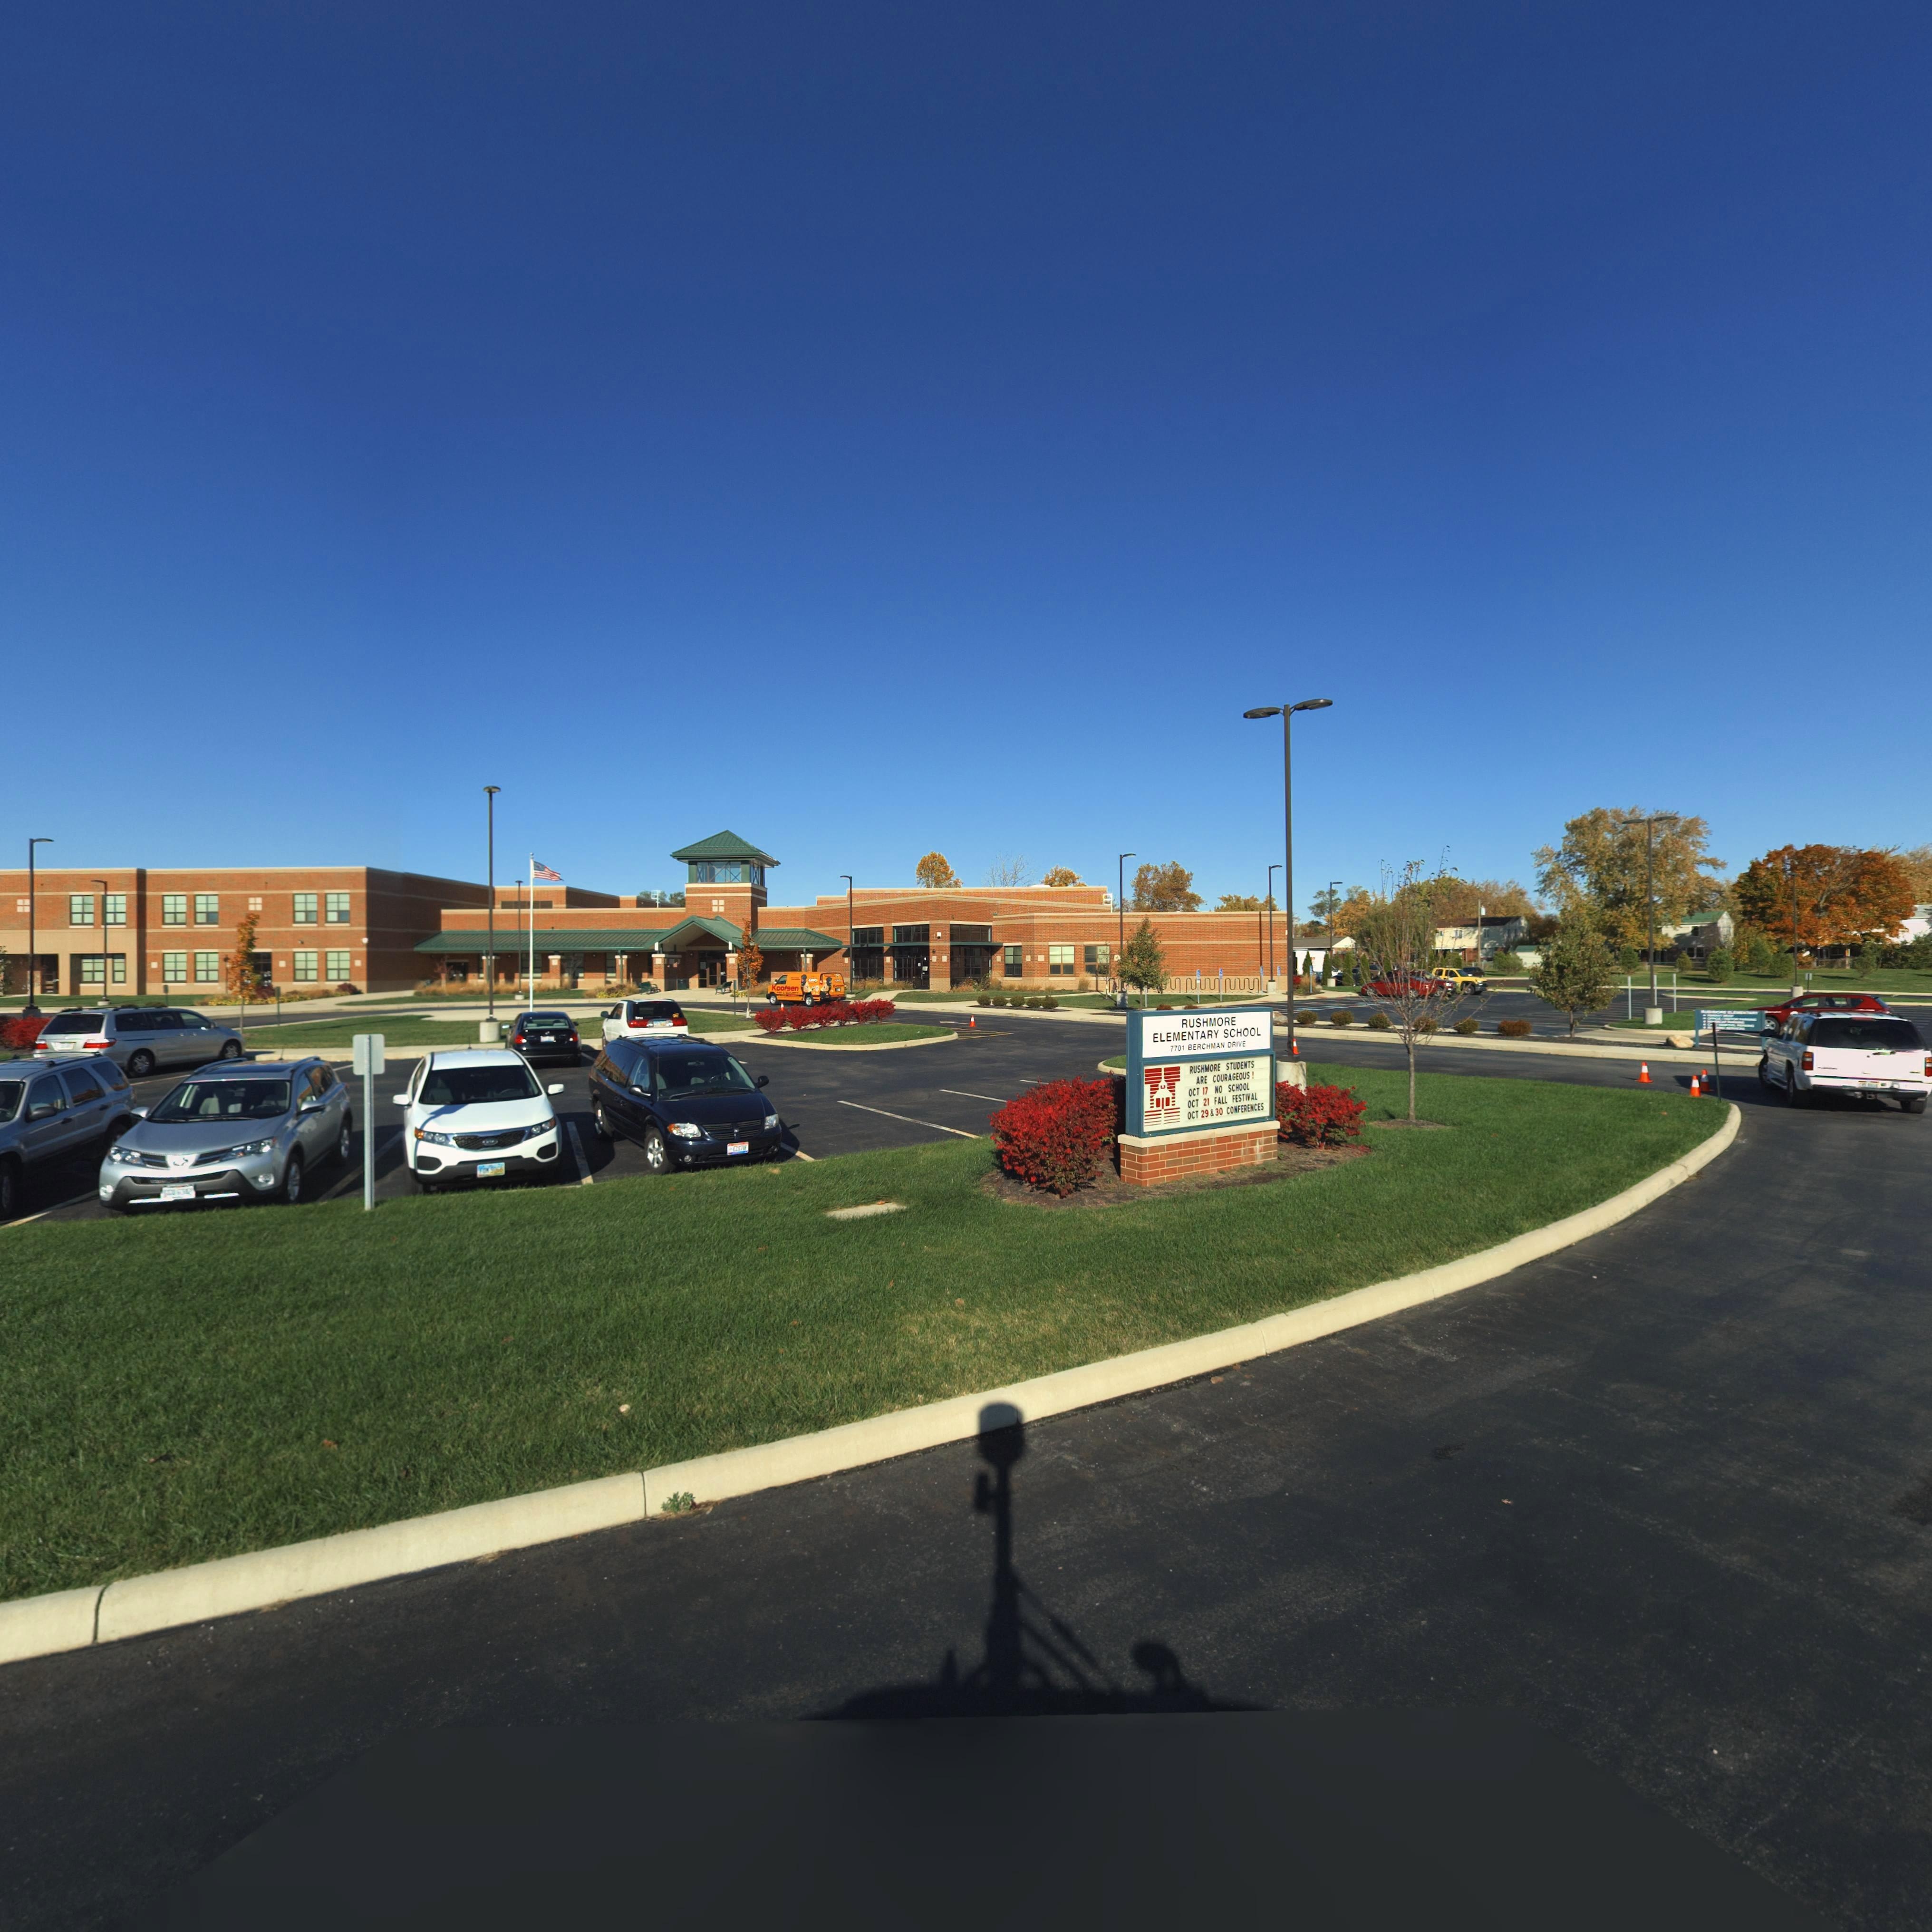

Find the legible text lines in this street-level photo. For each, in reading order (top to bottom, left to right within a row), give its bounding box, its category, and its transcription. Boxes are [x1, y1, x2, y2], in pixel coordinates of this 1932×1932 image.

[1181, 1016, 1237, 1029] BusinessName: RUSHMORE
[1152, 1026, 1262, 1043] BusinessName: ELEMENTARY SCHOOL
[1169, 1043, 1185, 1053] StreetNumber: 7701
[1188, 1040, 1246, 1052] StreetName: BERCHMAN DRIVE